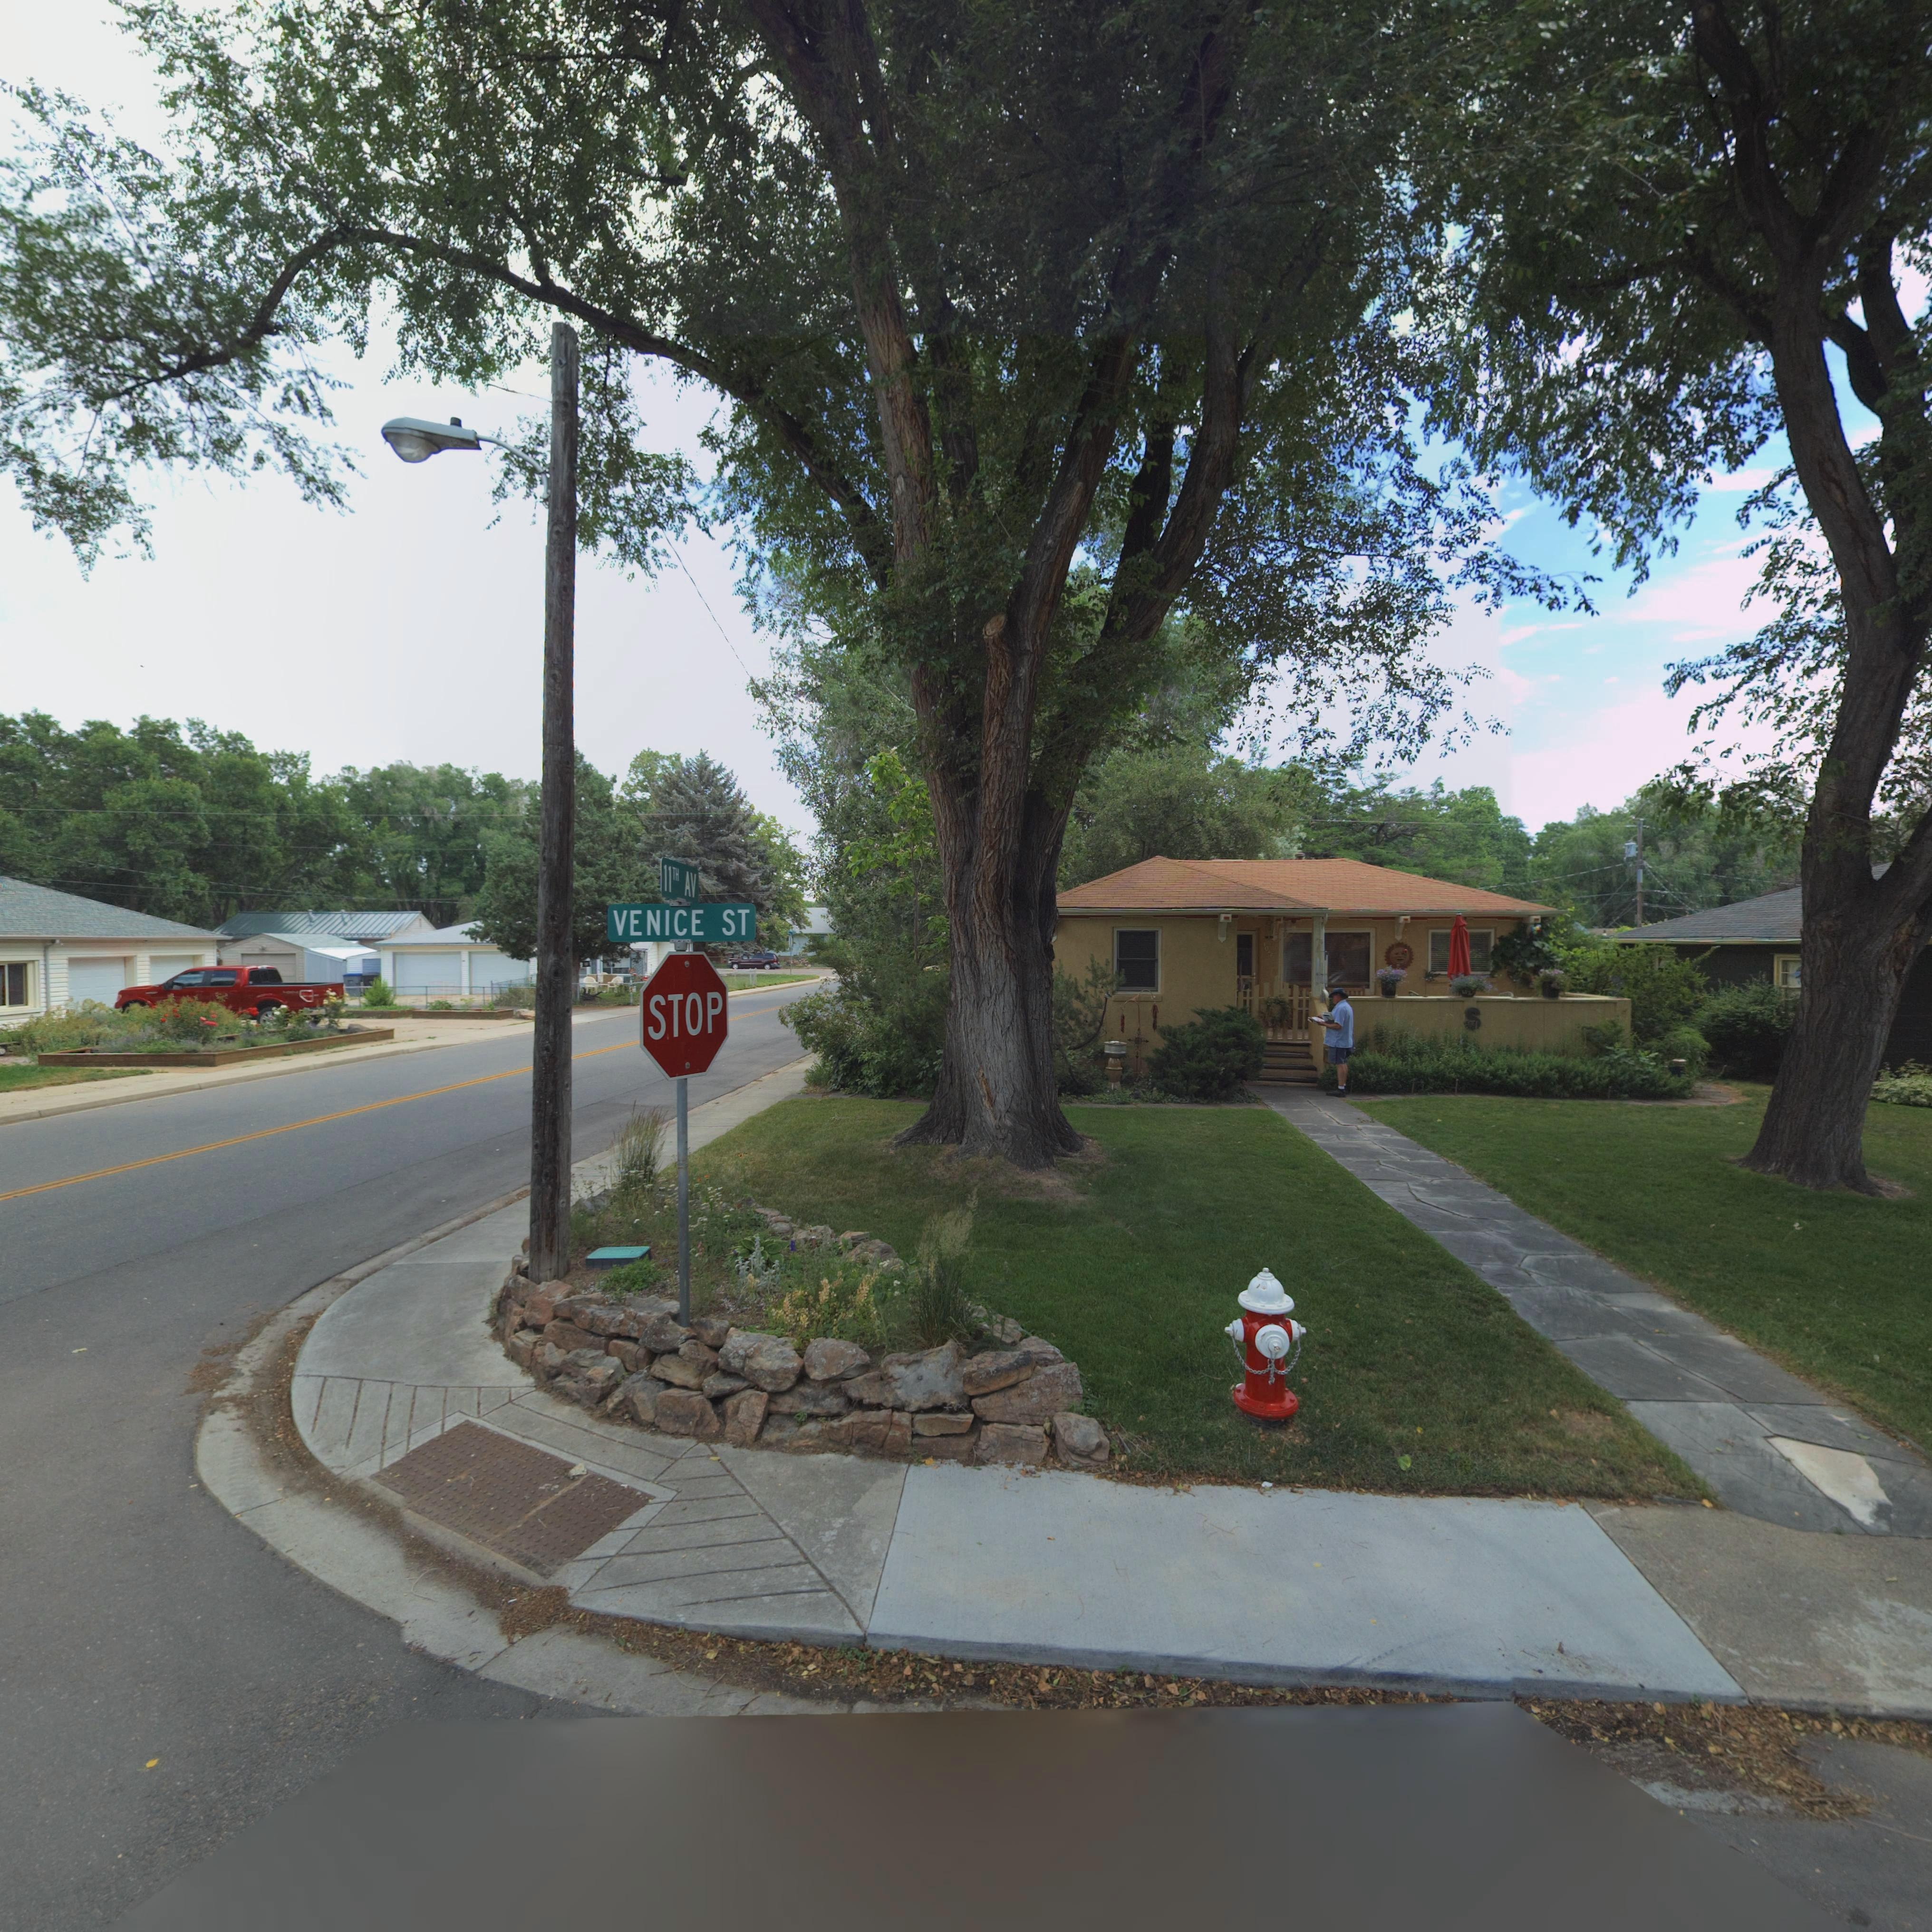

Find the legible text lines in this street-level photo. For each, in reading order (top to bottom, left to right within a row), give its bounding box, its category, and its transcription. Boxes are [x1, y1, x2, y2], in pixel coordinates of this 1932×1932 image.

[664, 863, 697, 898] StreetName: 11TH AV
[612, 908, 752, 937] StreetName: VENICE ST
[1263, 941, 1272, 957] StreetNumber: 10**